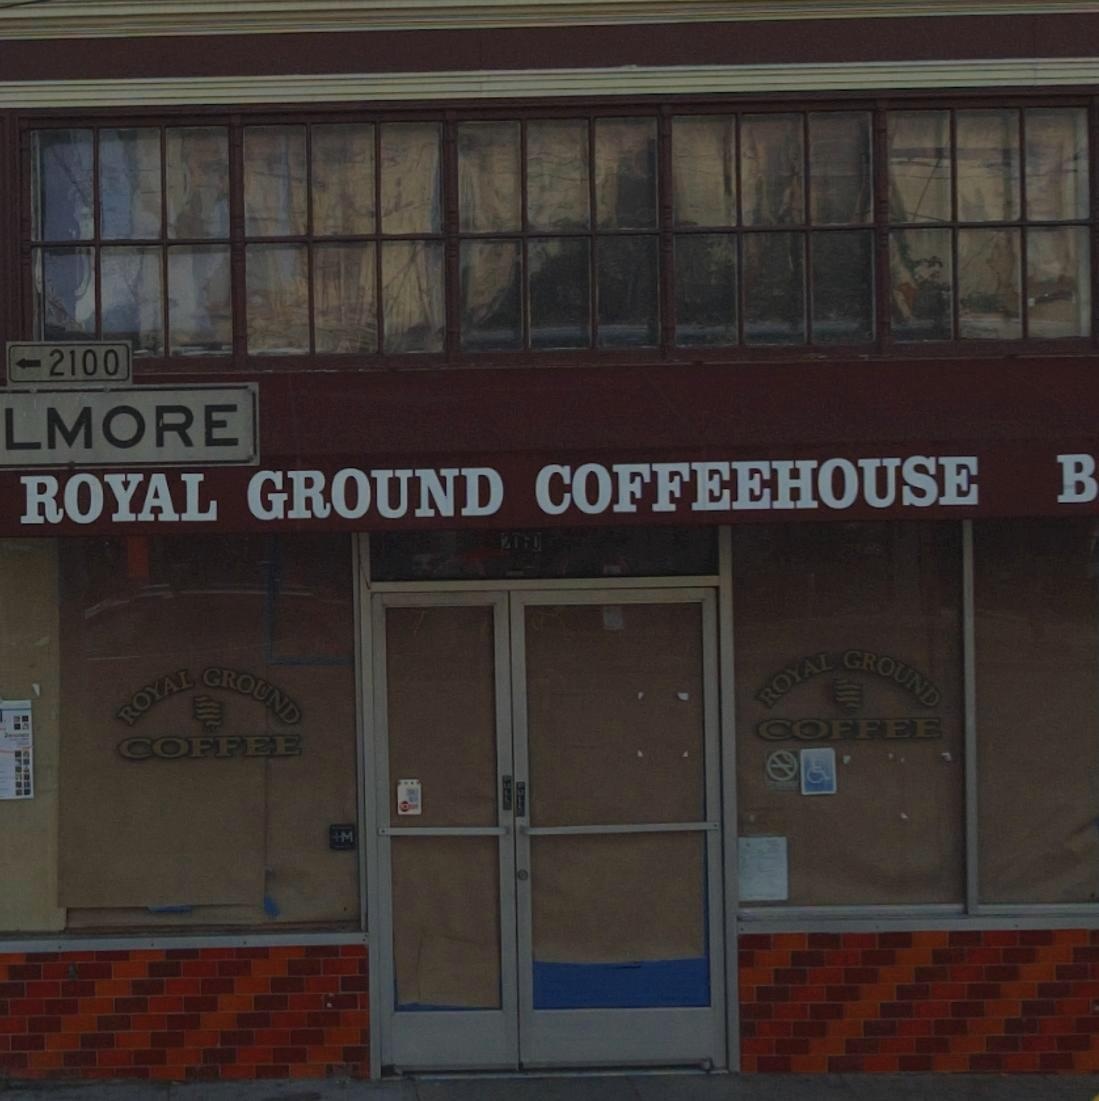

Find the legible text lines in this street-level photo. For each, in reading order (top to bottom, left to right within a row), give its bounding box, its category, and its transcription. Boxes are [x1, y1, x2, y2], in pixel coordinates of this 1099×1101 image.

[13, 347, 121, 379] StreetNumber: *2100
[1, 400, 242, 455] StreetName: LMORE
[15, 448, 1099, 529] BusinessName: ROYAL GROUND COFFEEHOUSE B
[500, 530, 542, 553] StreetNumber: 2060
[750, 646, 945, 712] BusinessName: ROYAL GROUND
[112, 665, 303, 729] BusinessName: ROYAL GROUND
[754, 714, 946, 744] BusinessName: COFFEE
[115, 731, 305, 763] BusinessName: COFFEE
[502, 774, 512, 805] None: PULL
[516, 781, 526, 810] None: PULL